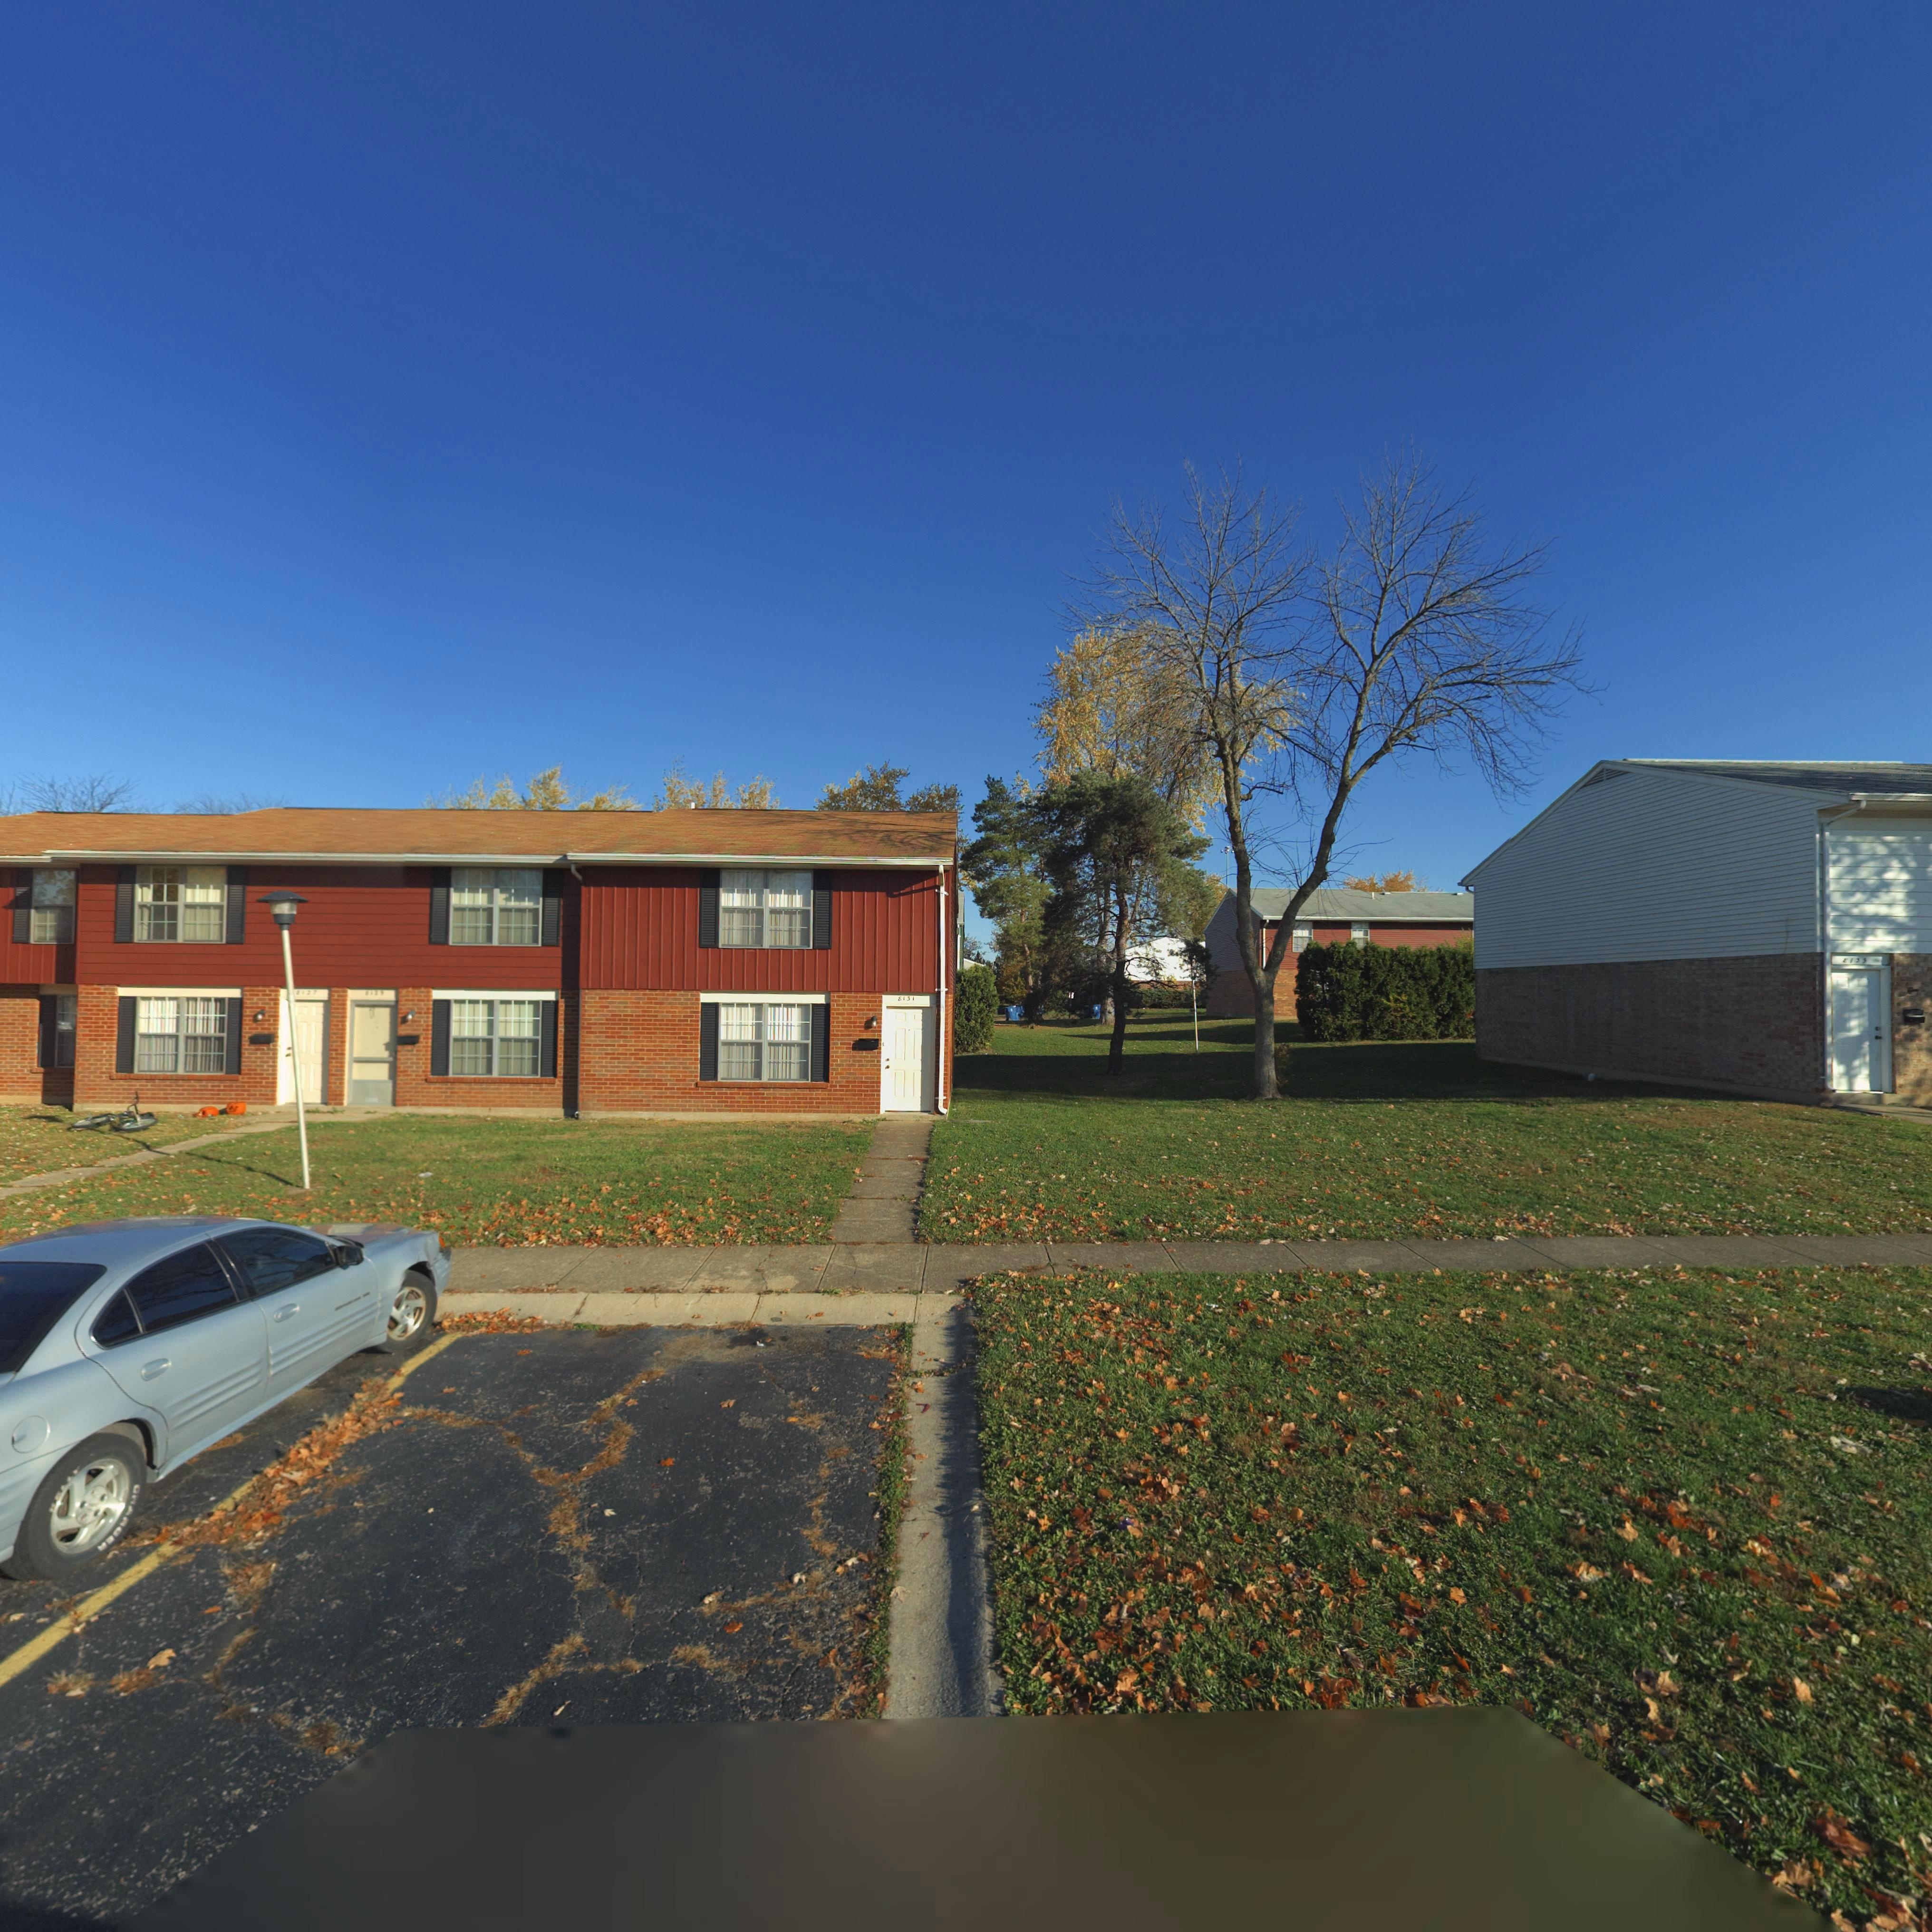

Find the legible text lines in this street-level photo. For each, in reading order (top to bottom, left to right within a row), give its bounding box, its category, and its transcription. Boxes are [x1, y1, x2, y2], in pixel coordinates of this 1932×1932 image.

[1841, 956, 1868, 965] StreetNumber: *1**
[364, 988, 385, 997] StreetNumber: *129
[897, 995, 916, 1003] StreetNumber: 8131